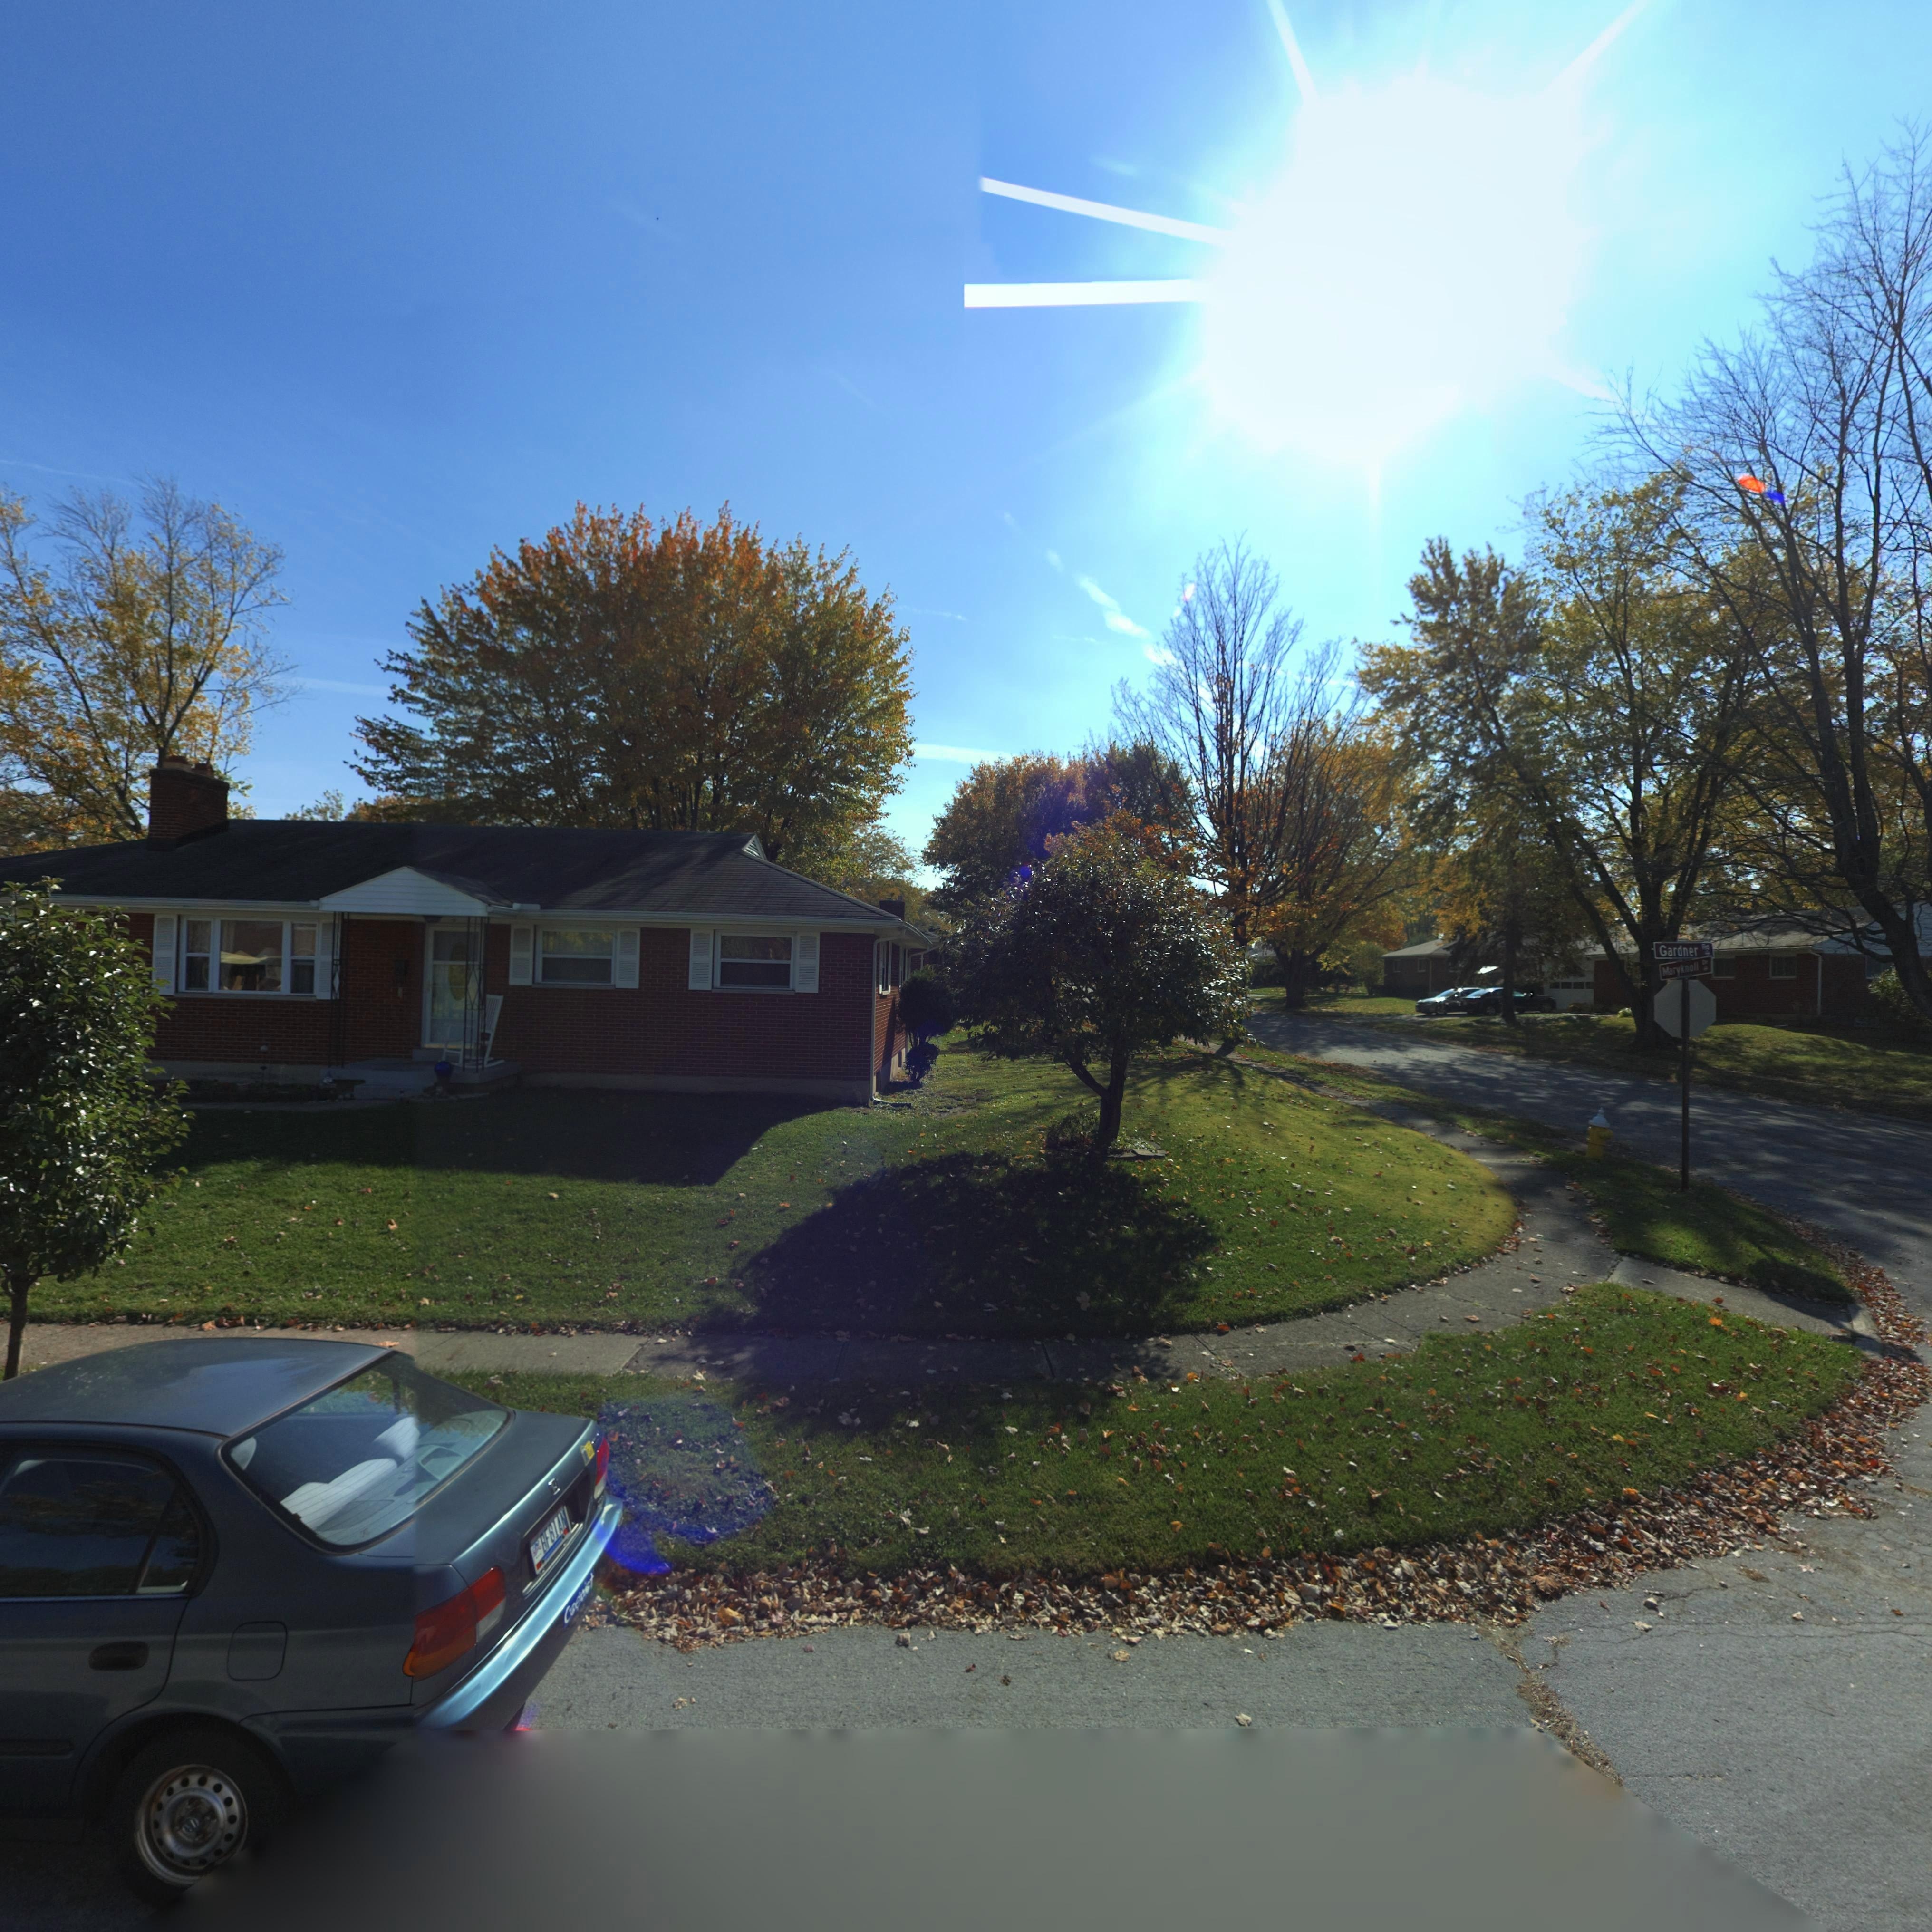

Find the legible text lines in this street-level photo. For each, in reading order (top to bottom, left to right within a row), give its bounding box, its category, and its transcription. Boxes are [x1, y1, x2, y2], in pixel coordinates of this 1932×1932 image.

[1659, 944, 1710, 957] StreetName: Gardner Rd
[1662, 959, 1709, 977] StreetName: Maryknoll Dr